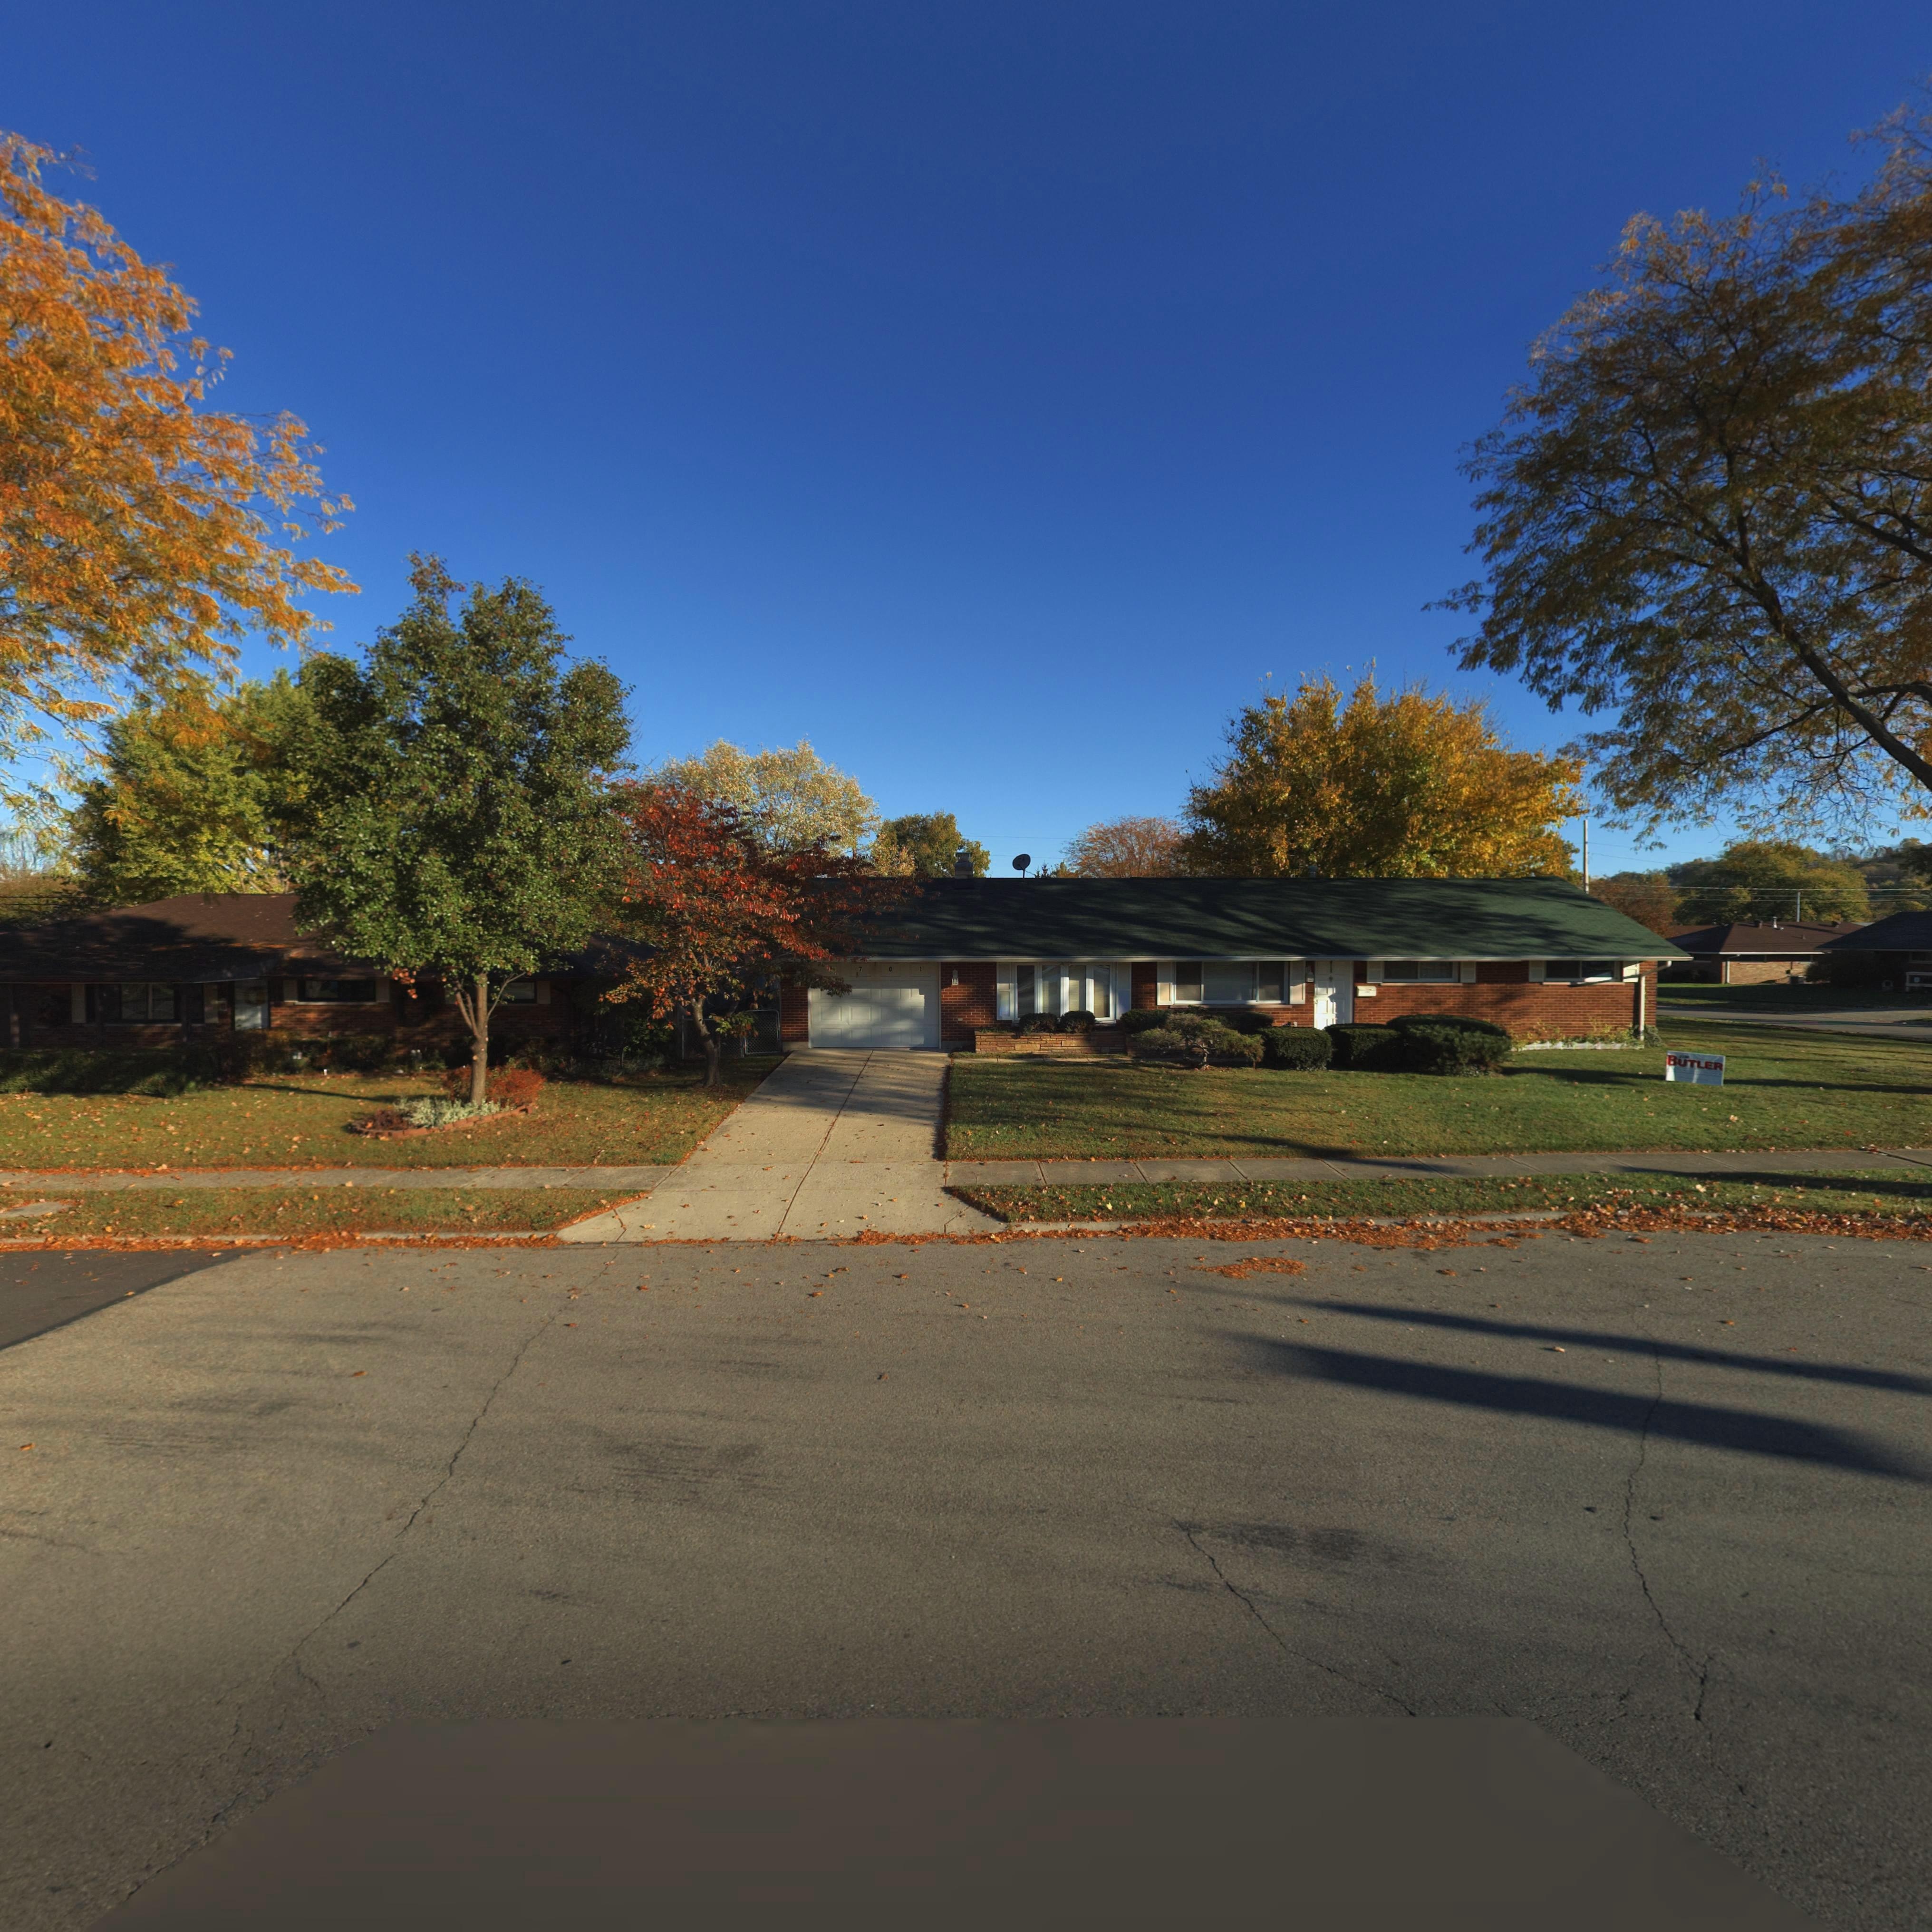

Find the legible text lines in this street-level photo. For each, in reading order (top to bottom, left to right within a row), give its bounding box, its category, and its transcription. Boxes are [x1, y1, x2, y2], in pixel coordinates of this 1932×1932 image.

[857, 965, 922, 972] StreetNumber: 701